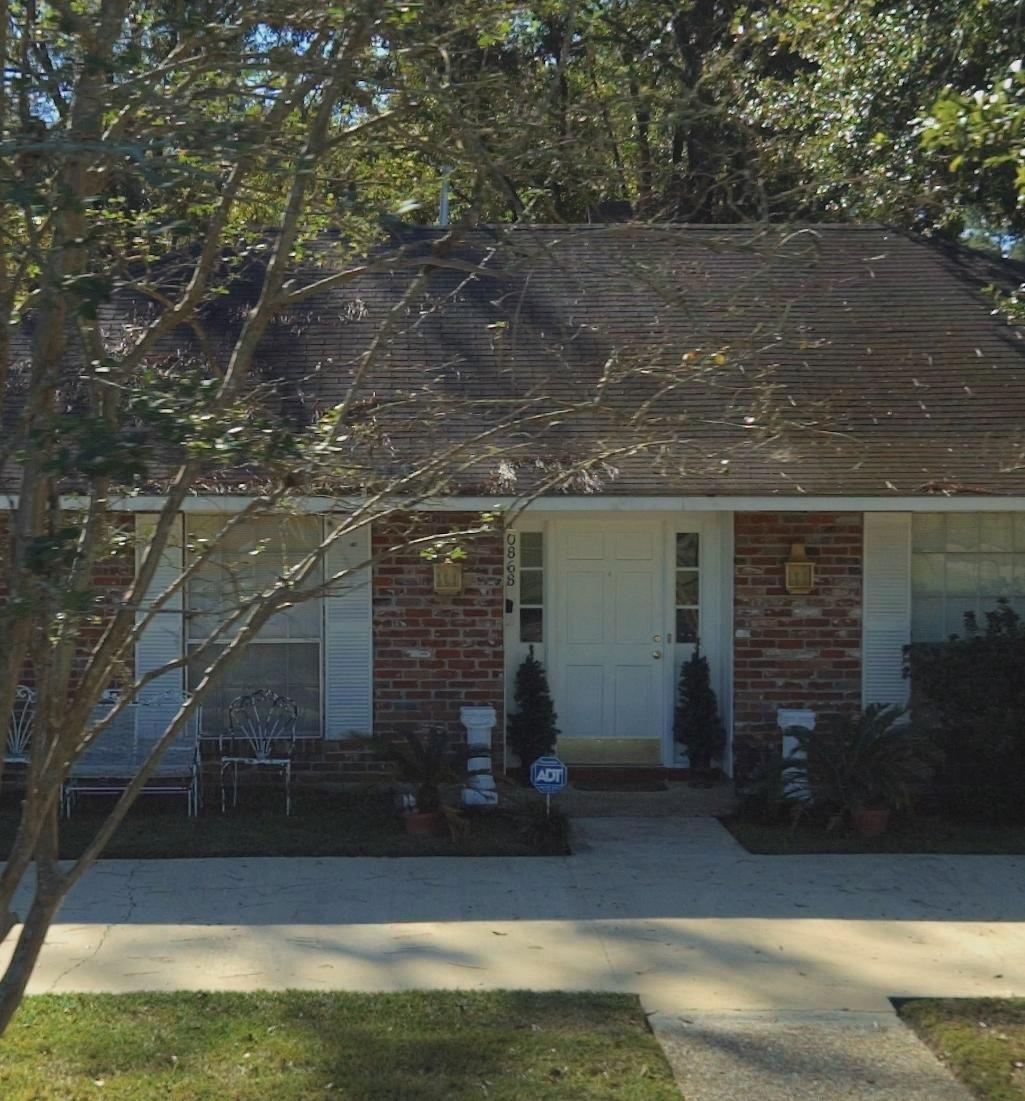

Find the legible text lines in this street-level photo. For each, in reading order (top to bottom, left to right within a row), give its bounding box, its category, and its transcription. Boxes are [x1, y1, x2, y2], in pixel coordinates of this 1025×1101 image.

[504, 531, 518, 590] StreetNumber: 0868
[532, 766, 564, 785] None: ADT